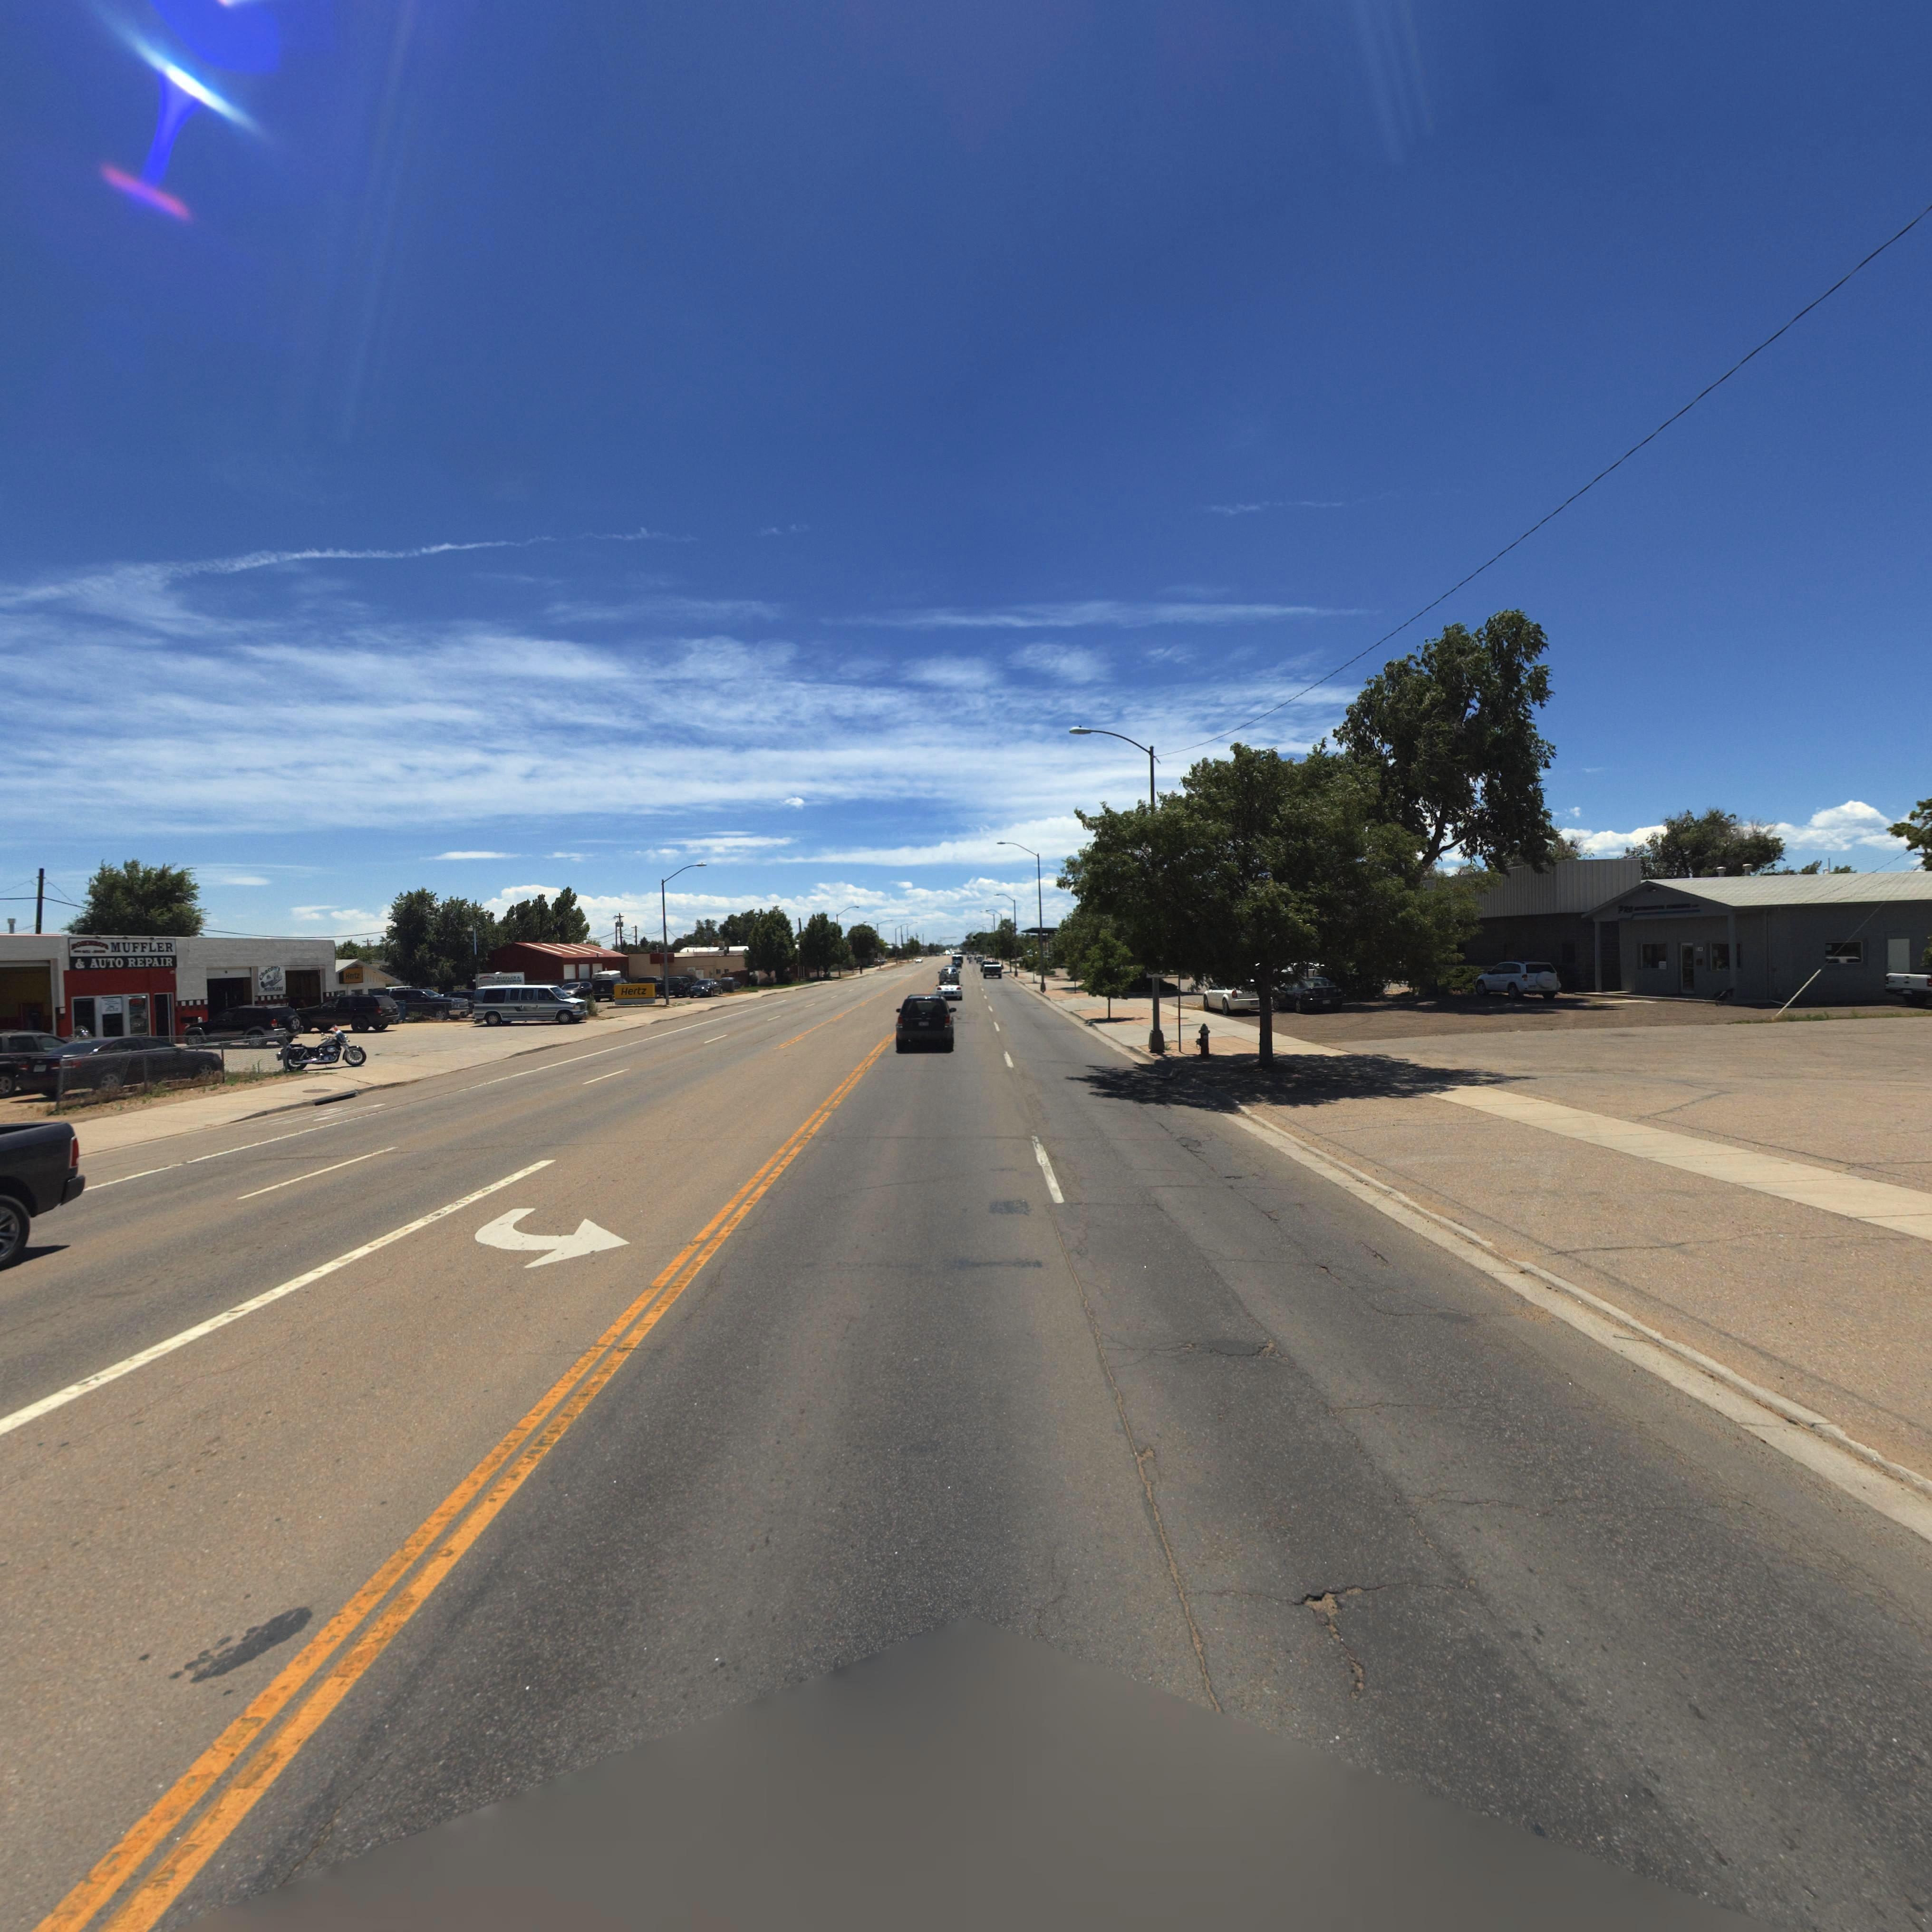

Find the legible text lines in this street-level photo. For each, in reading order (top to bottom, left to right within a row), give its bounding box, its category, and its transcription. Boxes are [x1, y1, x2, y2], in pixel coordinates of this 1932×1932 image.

[1615, 903, 1633, 915] BusinessName: PRO
[110, 941, 174, 953] BusinessName: MUFFLER
[74, 956, 173, 969] BusinessName: & AUTO REPATR
[258, 965, 281, 981] BusinessName: chacon's
[345, 972, 360, 980] BusinessName: Hertz
[617, 986, 649, 996] BusinessName: Hertz